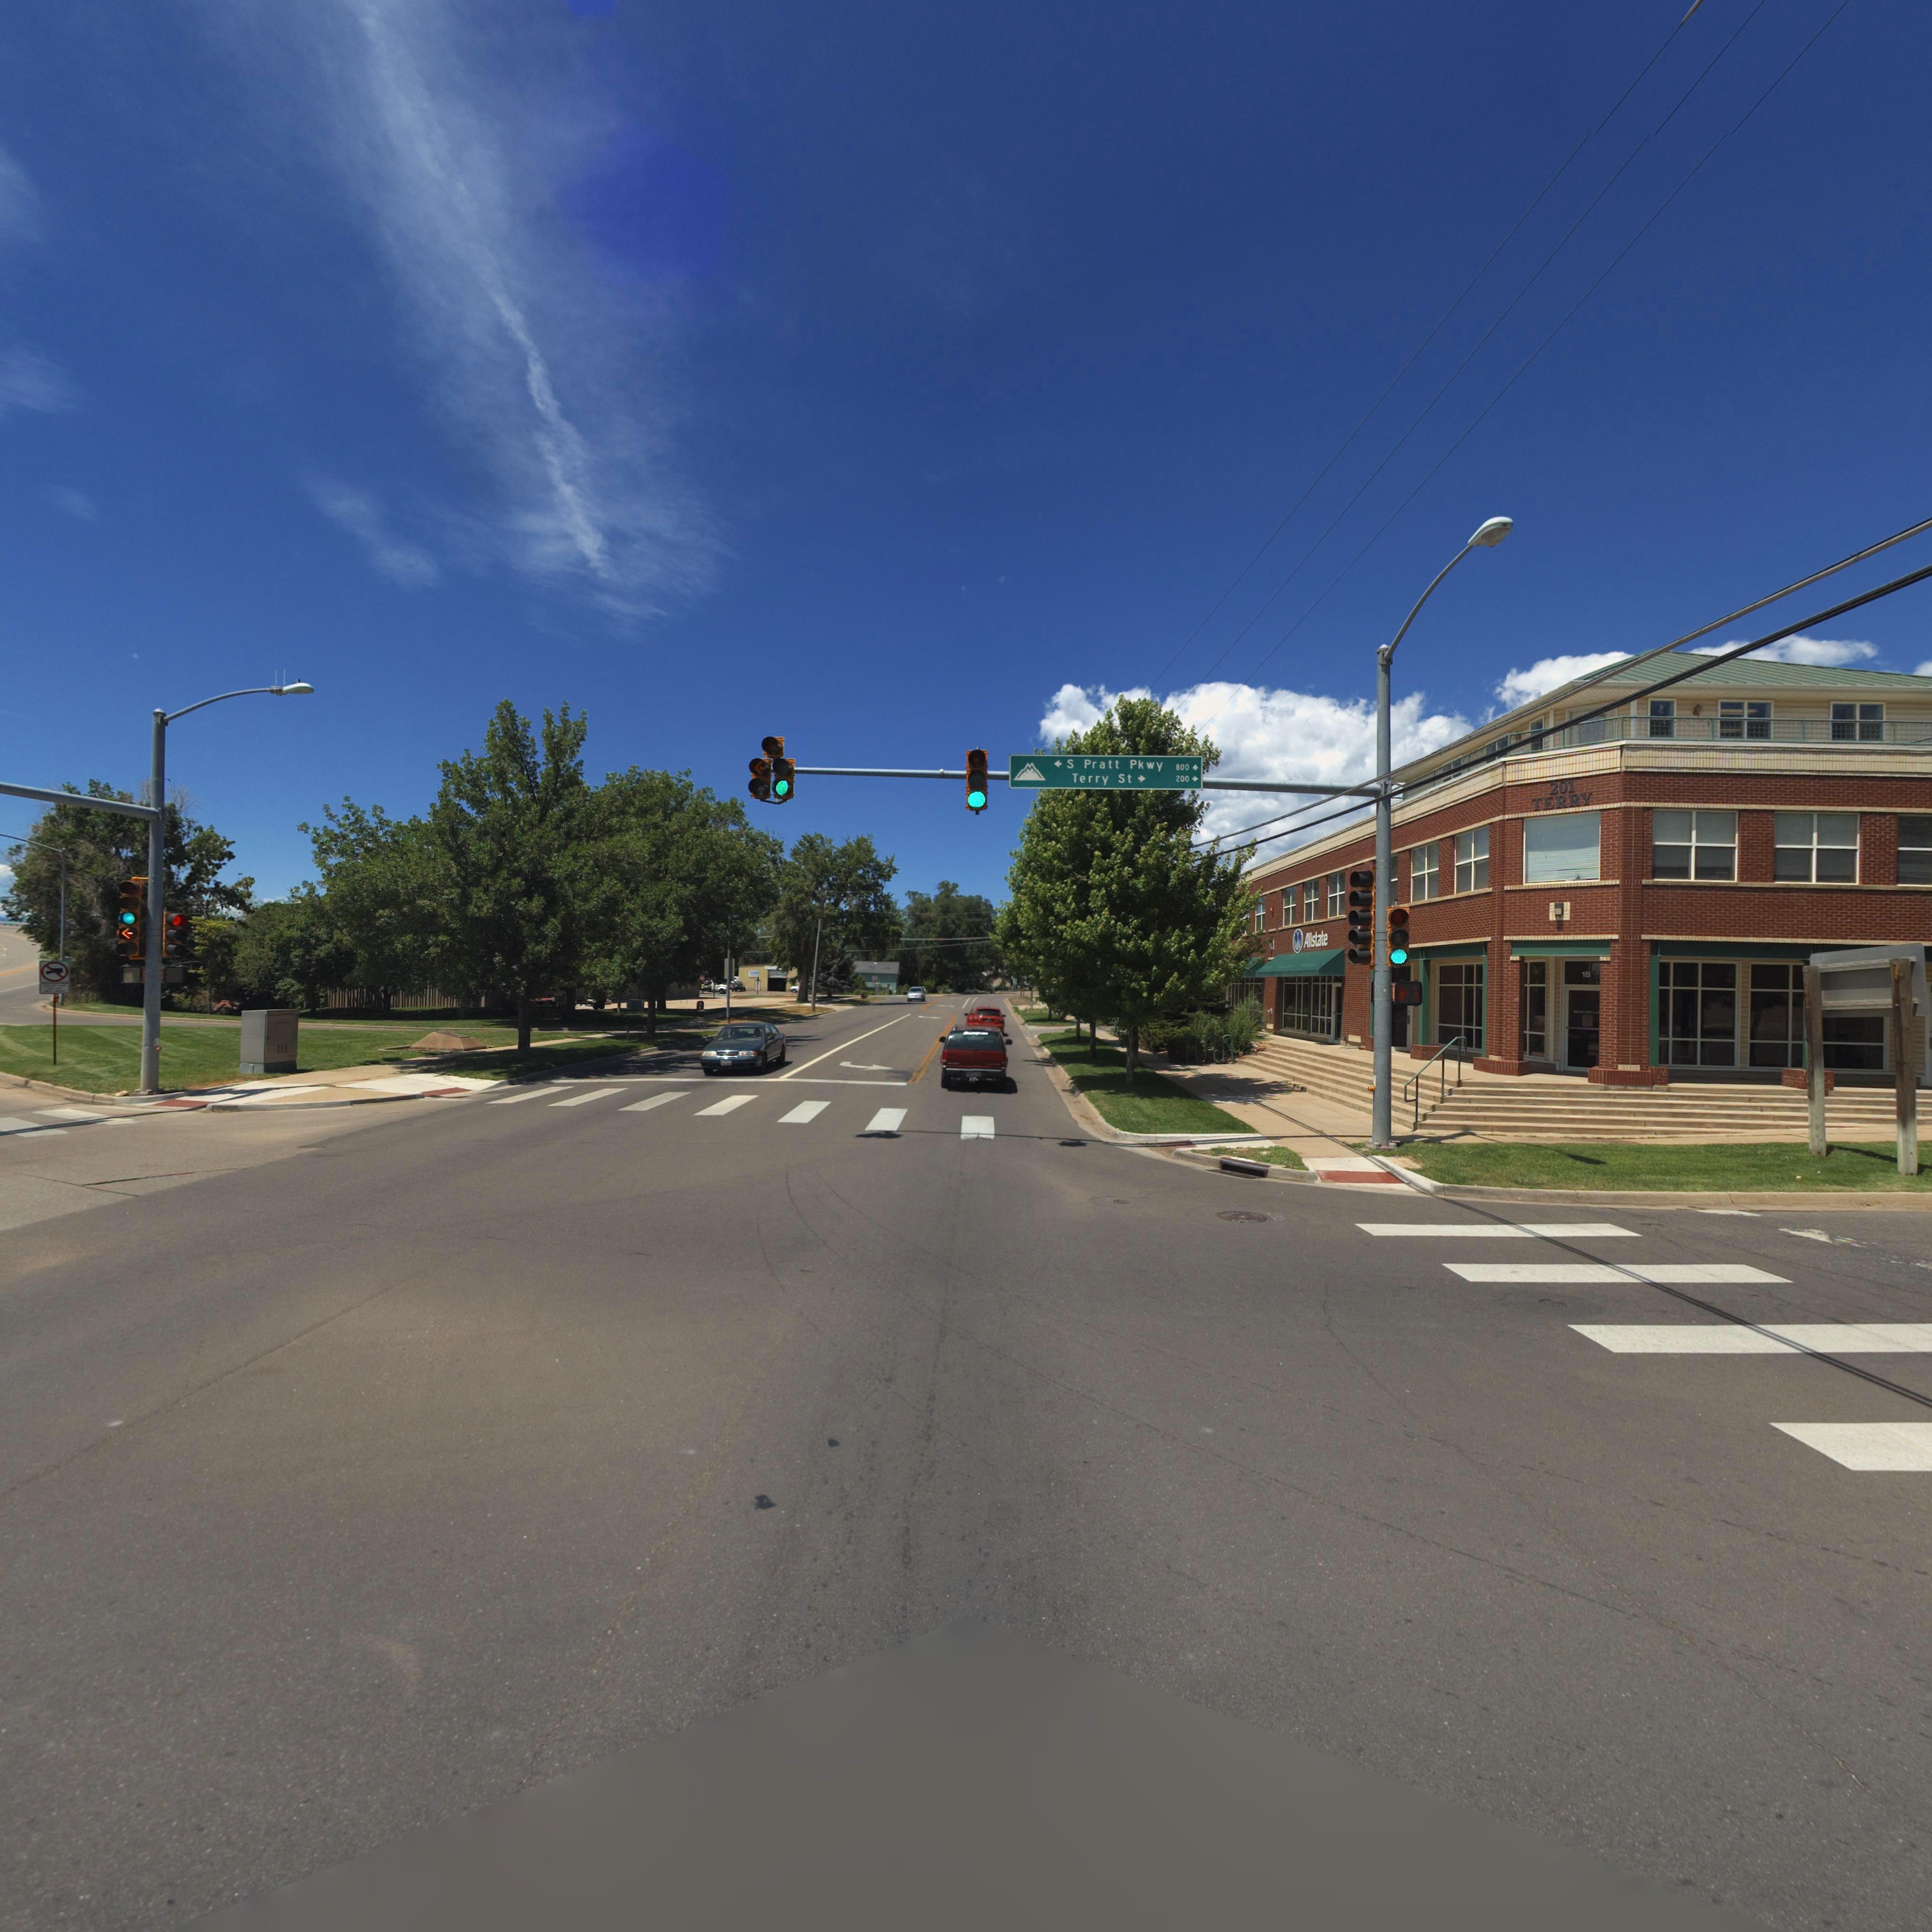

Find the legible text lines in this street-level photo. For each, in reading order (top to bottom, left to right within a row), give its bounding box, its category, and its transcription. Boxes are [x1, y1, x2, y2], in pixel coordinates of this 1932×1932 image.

[1066, 759, 1164, 772] StreetName: S Pratt Pkwy
[1175, 763, 1189, 771] StreetNumberRange: 800
[1072, 773, 1132, 785] StreetName: Terry St
[1175, 774, 1199, 782] StreetNumberRange: 200->
[1549, 778, 1576, 795] StreetNumber: 201
[1532, 791, 1593, 811] StreetName: TERRY
[1303, 929, 1328, 948] BusinessName: Allstate
[1581, 971, 1591, 977] SecondaryUnitDesignator: 1B